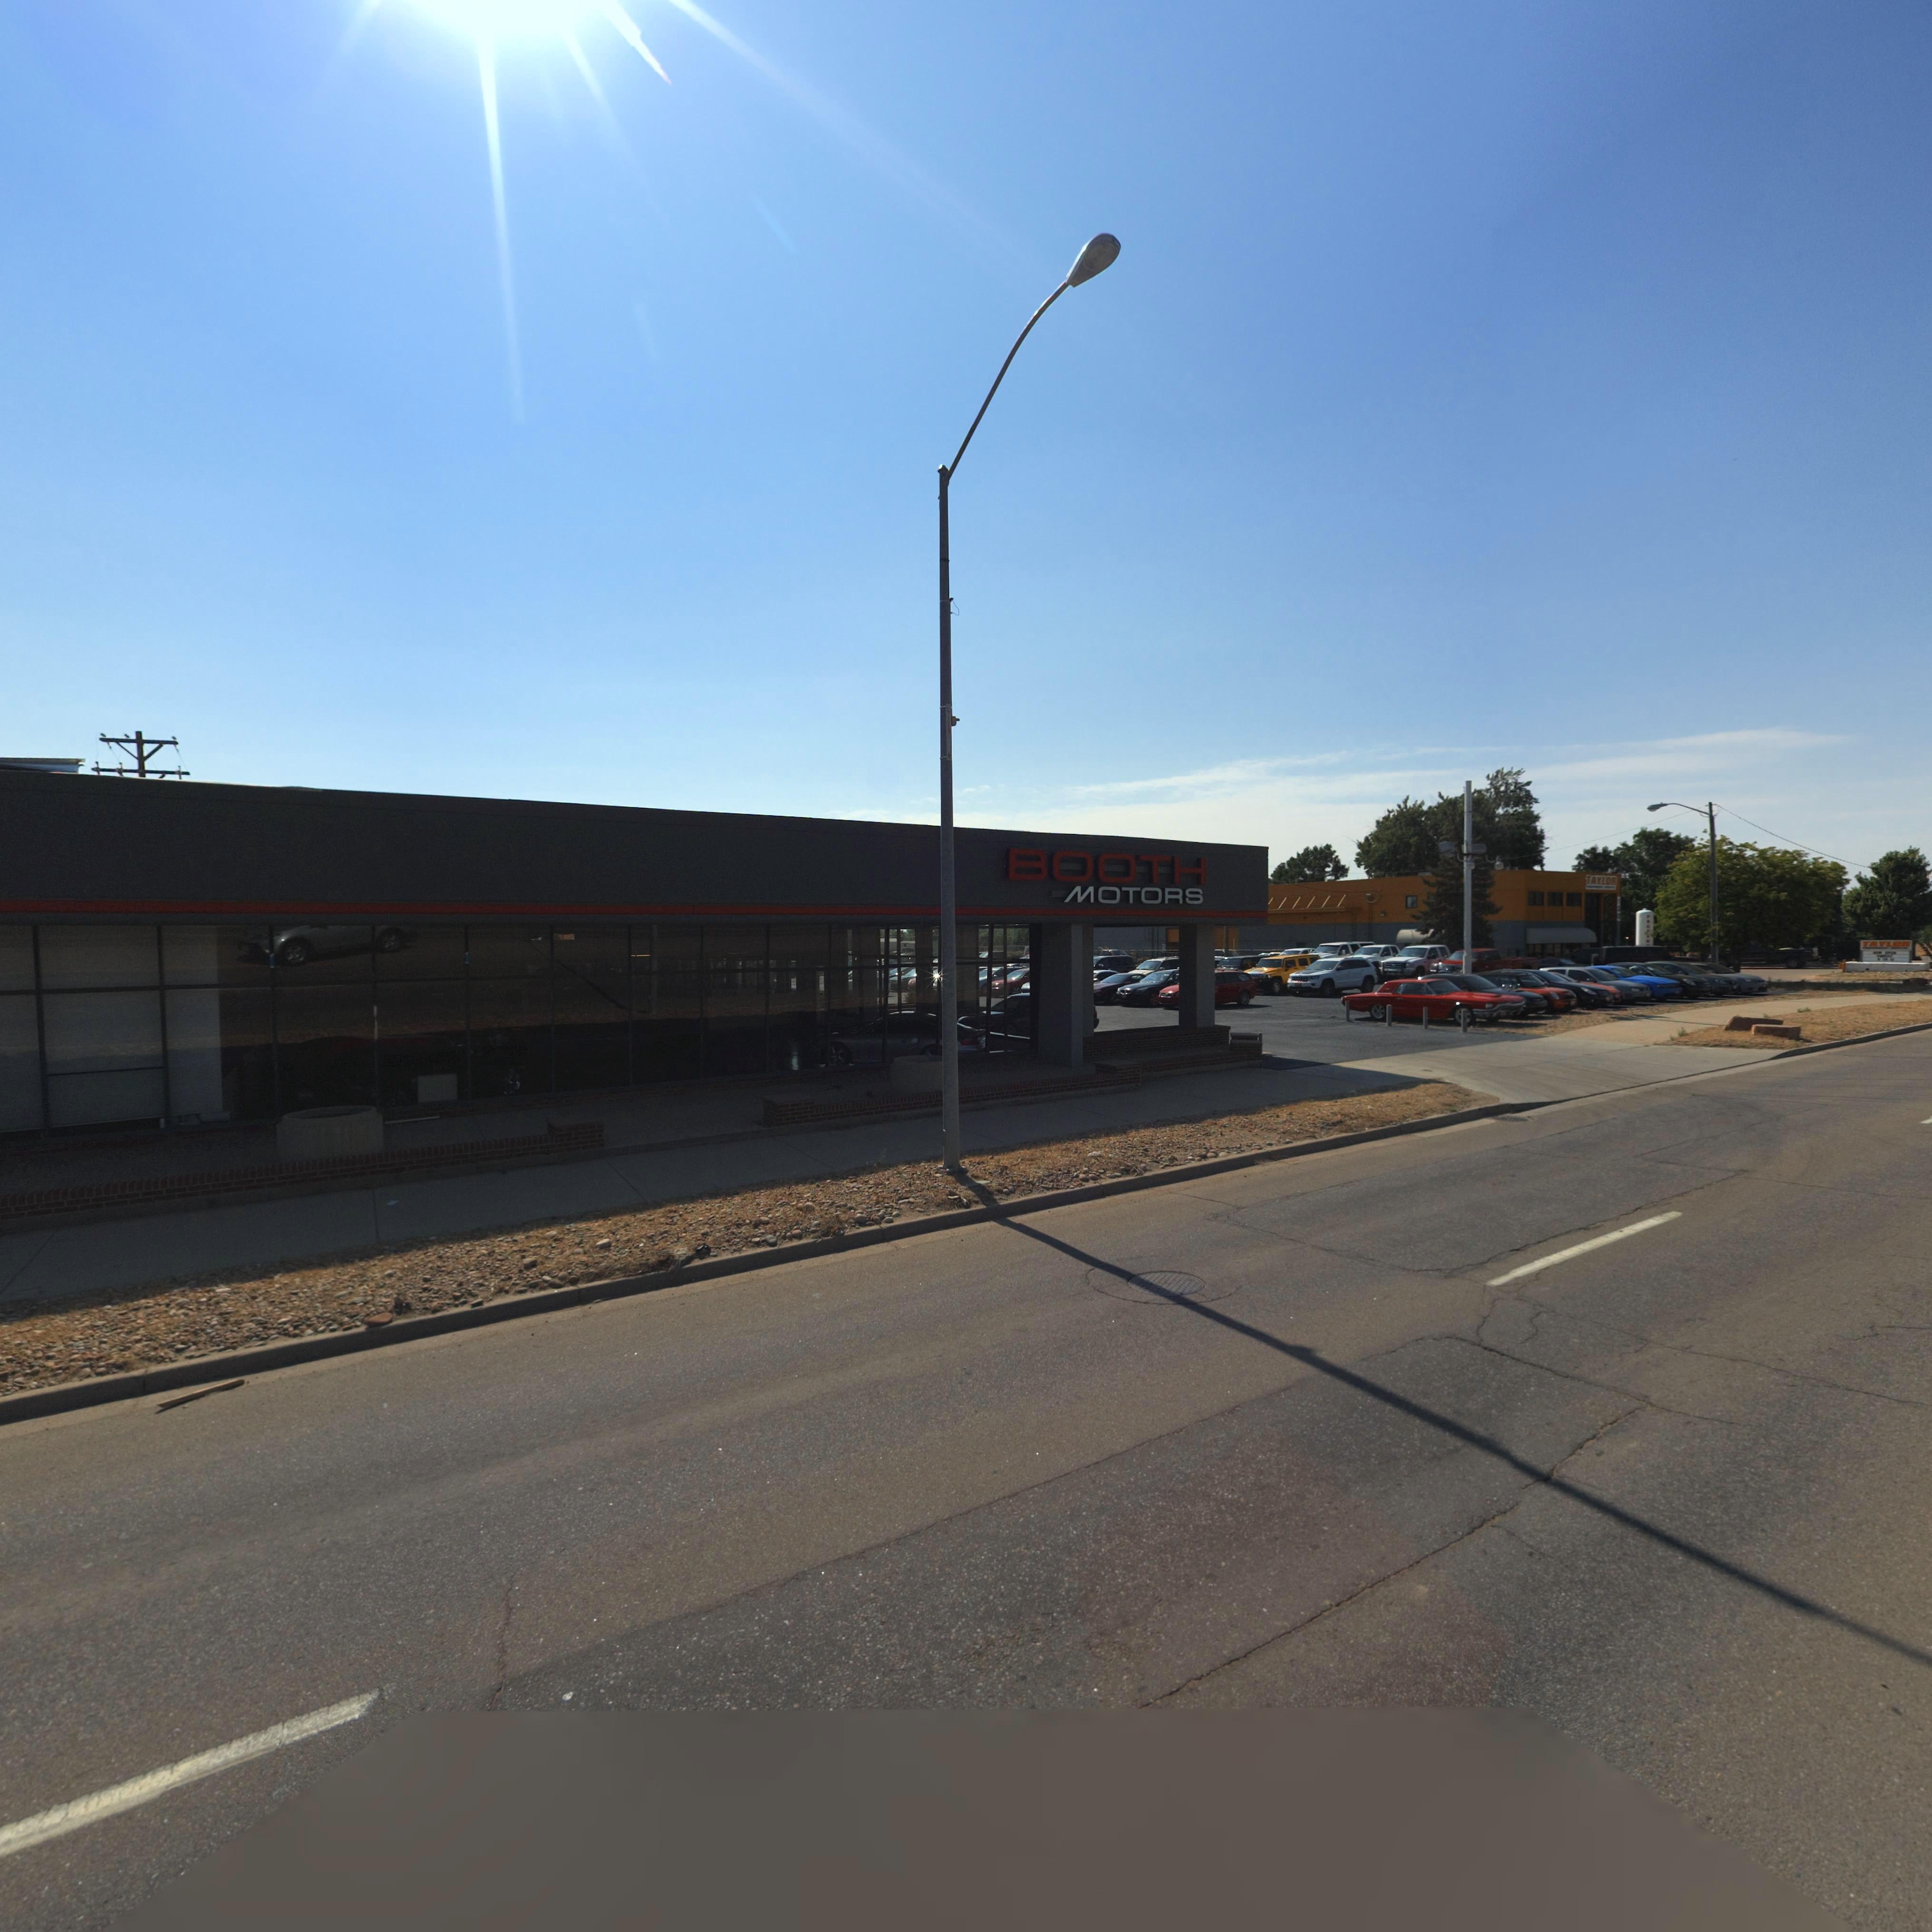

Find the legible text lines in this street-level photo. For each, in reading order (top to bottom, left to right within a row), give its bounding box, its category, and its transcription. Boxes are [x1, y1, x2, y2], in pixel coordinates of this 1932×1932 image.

[1008, 848, 1207, 886] BusinessName: BOOTH
[1585, 876, 1616, 885] BusinessName: TAYLOR
[1063, 885, 1203, 905] BusinessName: MOTORS
[1862, 941, 1910, 947] BusinessName: TAYLOR